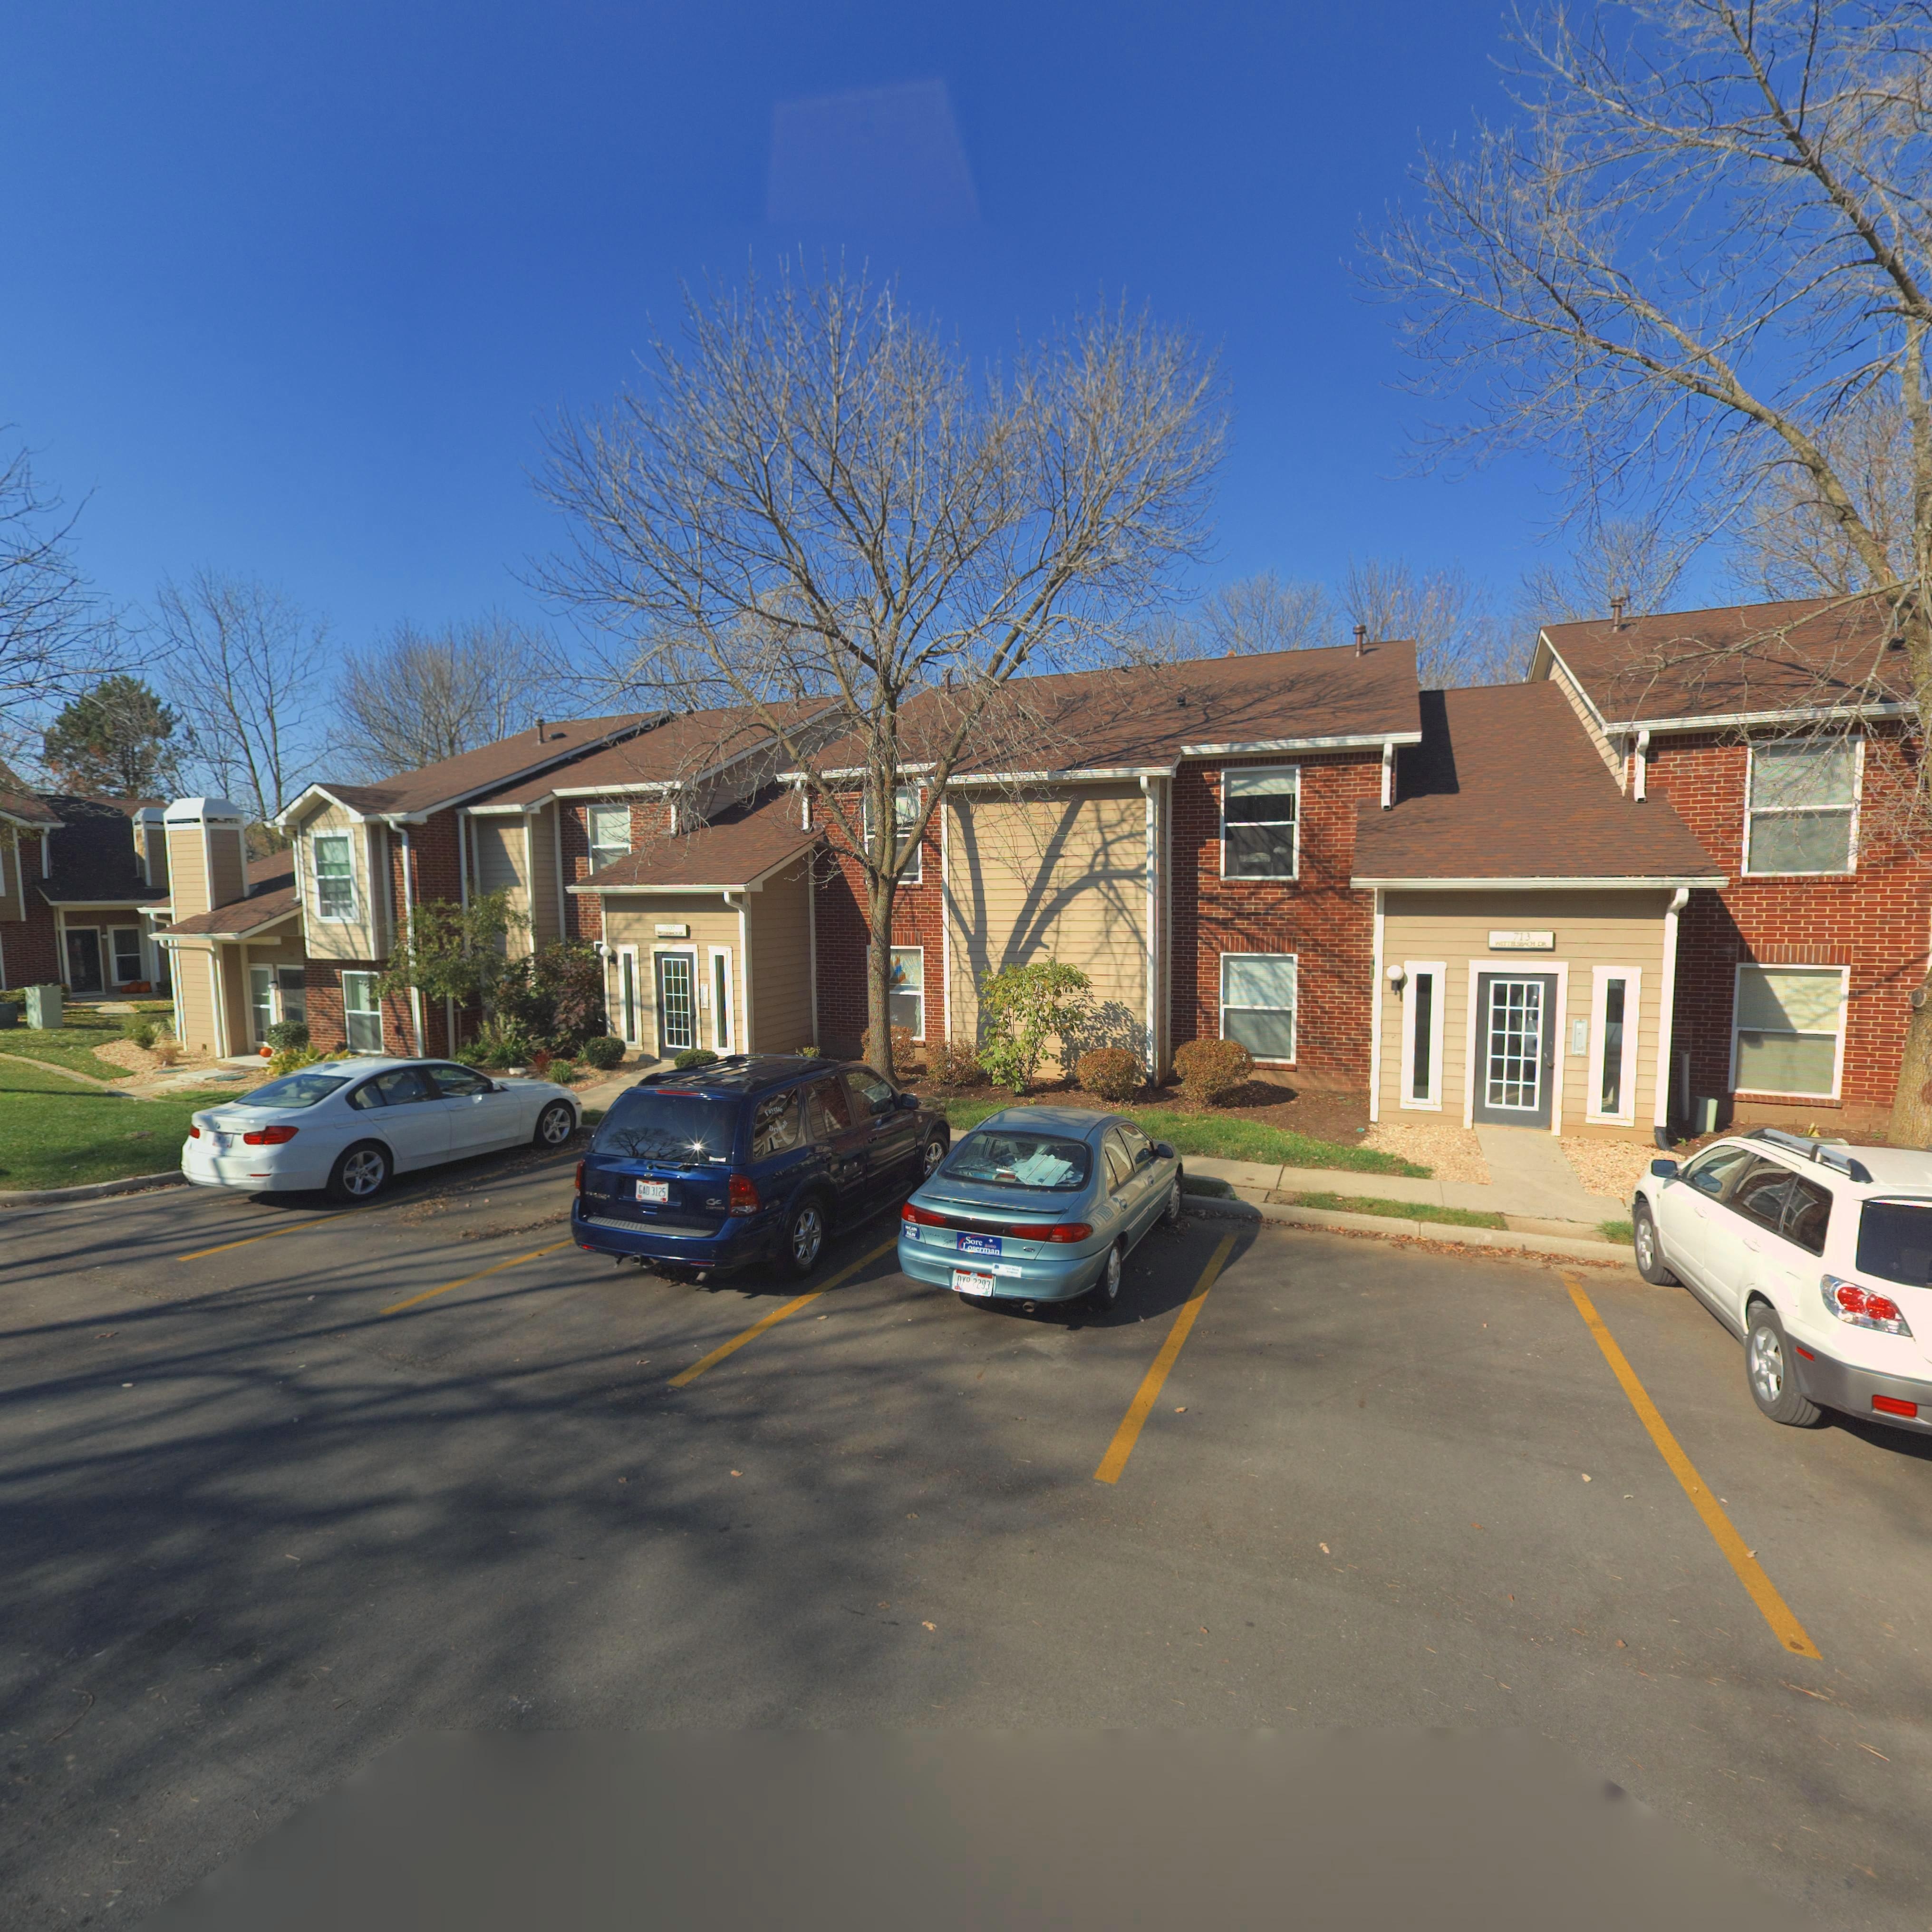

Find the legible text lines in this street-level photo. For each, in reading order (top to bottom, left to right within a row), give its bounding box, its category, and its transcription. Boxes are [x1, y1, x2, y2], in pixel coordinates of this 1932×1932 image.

[1512, 931, 1531, 942] StreetNumber: 713
[638, 1183, 667, 1198] None: GAD 3125
[964, 1234, 984, 1247] None: Sore
[962, 1240, 1001, 1257] None: Loserman
[955, 1272, 993, 1294] None: D** 2293